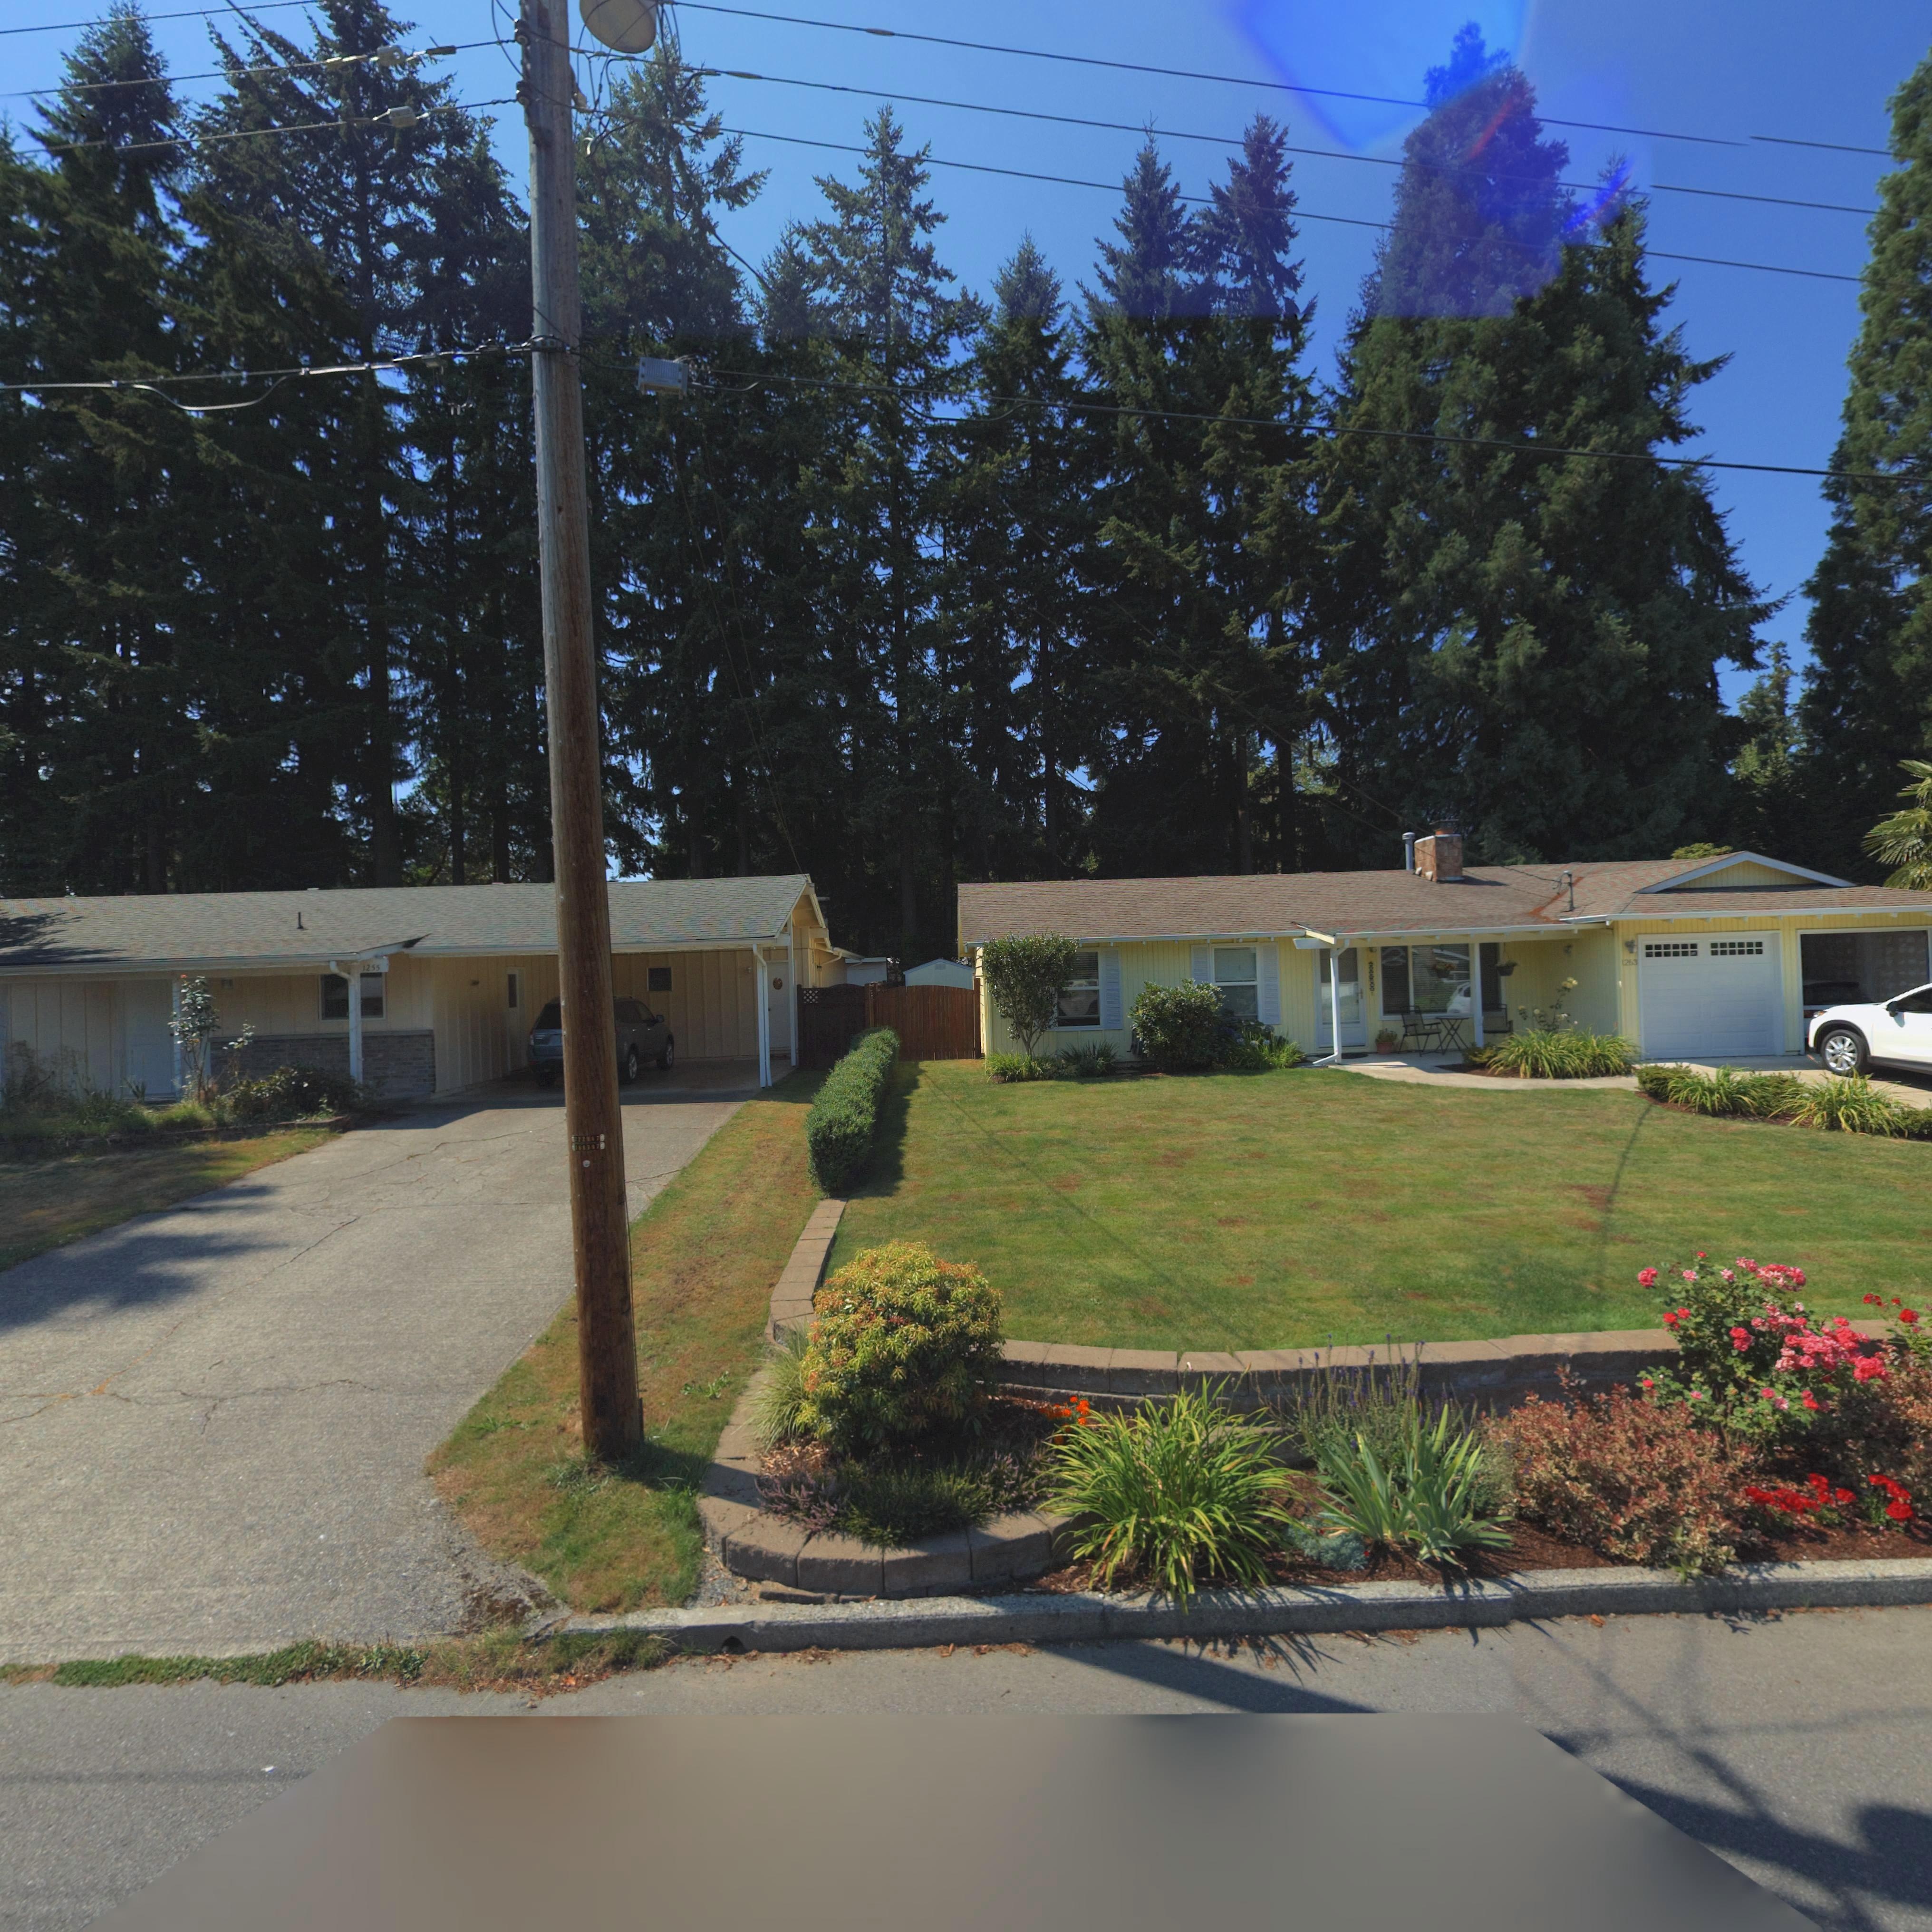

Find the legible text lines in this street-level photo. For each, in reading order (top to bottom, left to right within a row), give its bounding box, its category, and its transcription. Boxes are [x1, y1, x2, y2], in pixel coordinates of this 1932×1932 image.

[1621, 958, 1637, 966] StreetNumber: 1263
[362, 964, 380, 971] StreetNumber: 1255